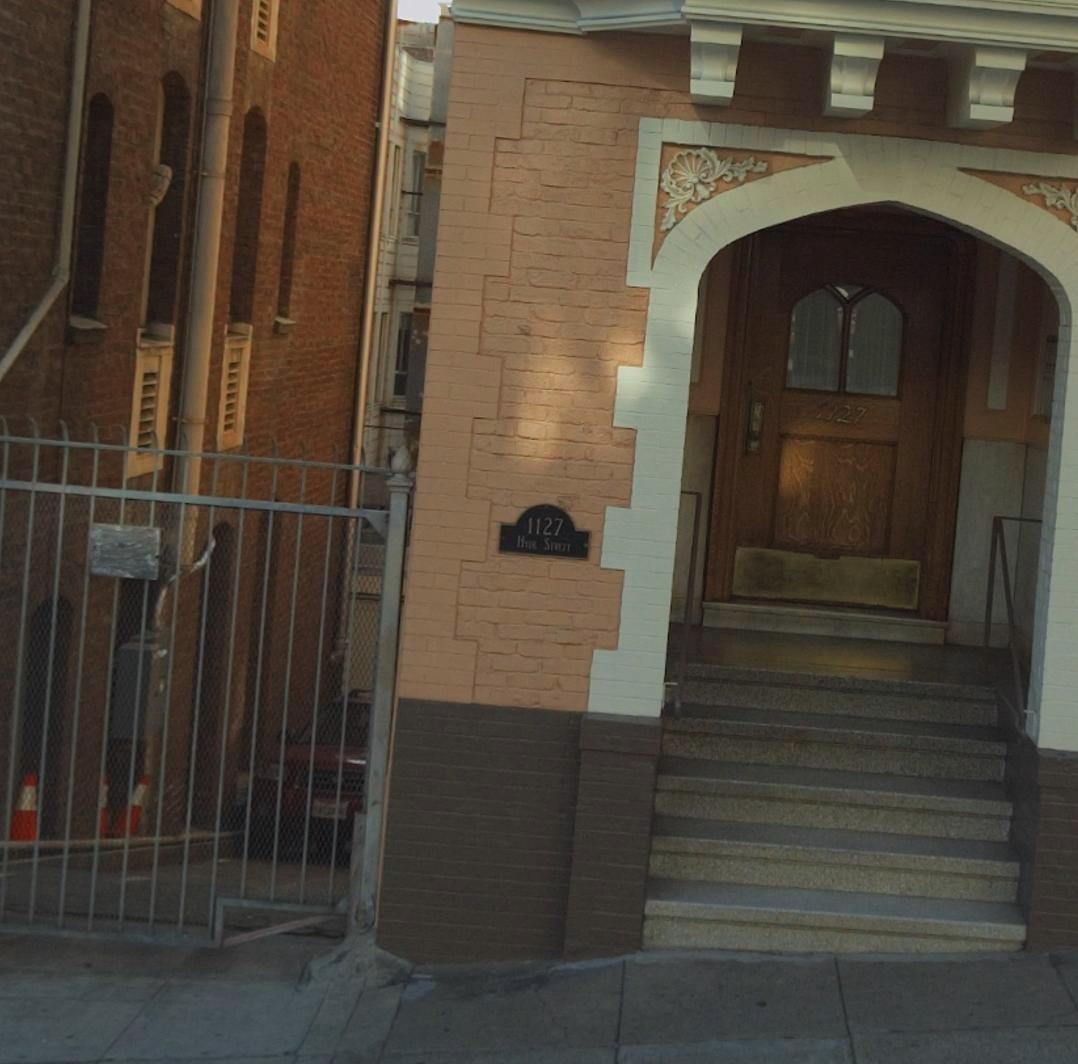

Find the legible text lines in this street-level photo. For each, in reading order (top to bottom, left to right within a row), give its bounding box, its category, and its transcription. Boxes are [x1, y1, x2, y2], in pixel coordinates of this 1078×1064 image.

[811, 400, 871, 427] StreetNumber: 1127
[526, 516, 566, 537] StreetNumber: 1127
[515, 533, 574, 553] StreetName: HYDA STREET